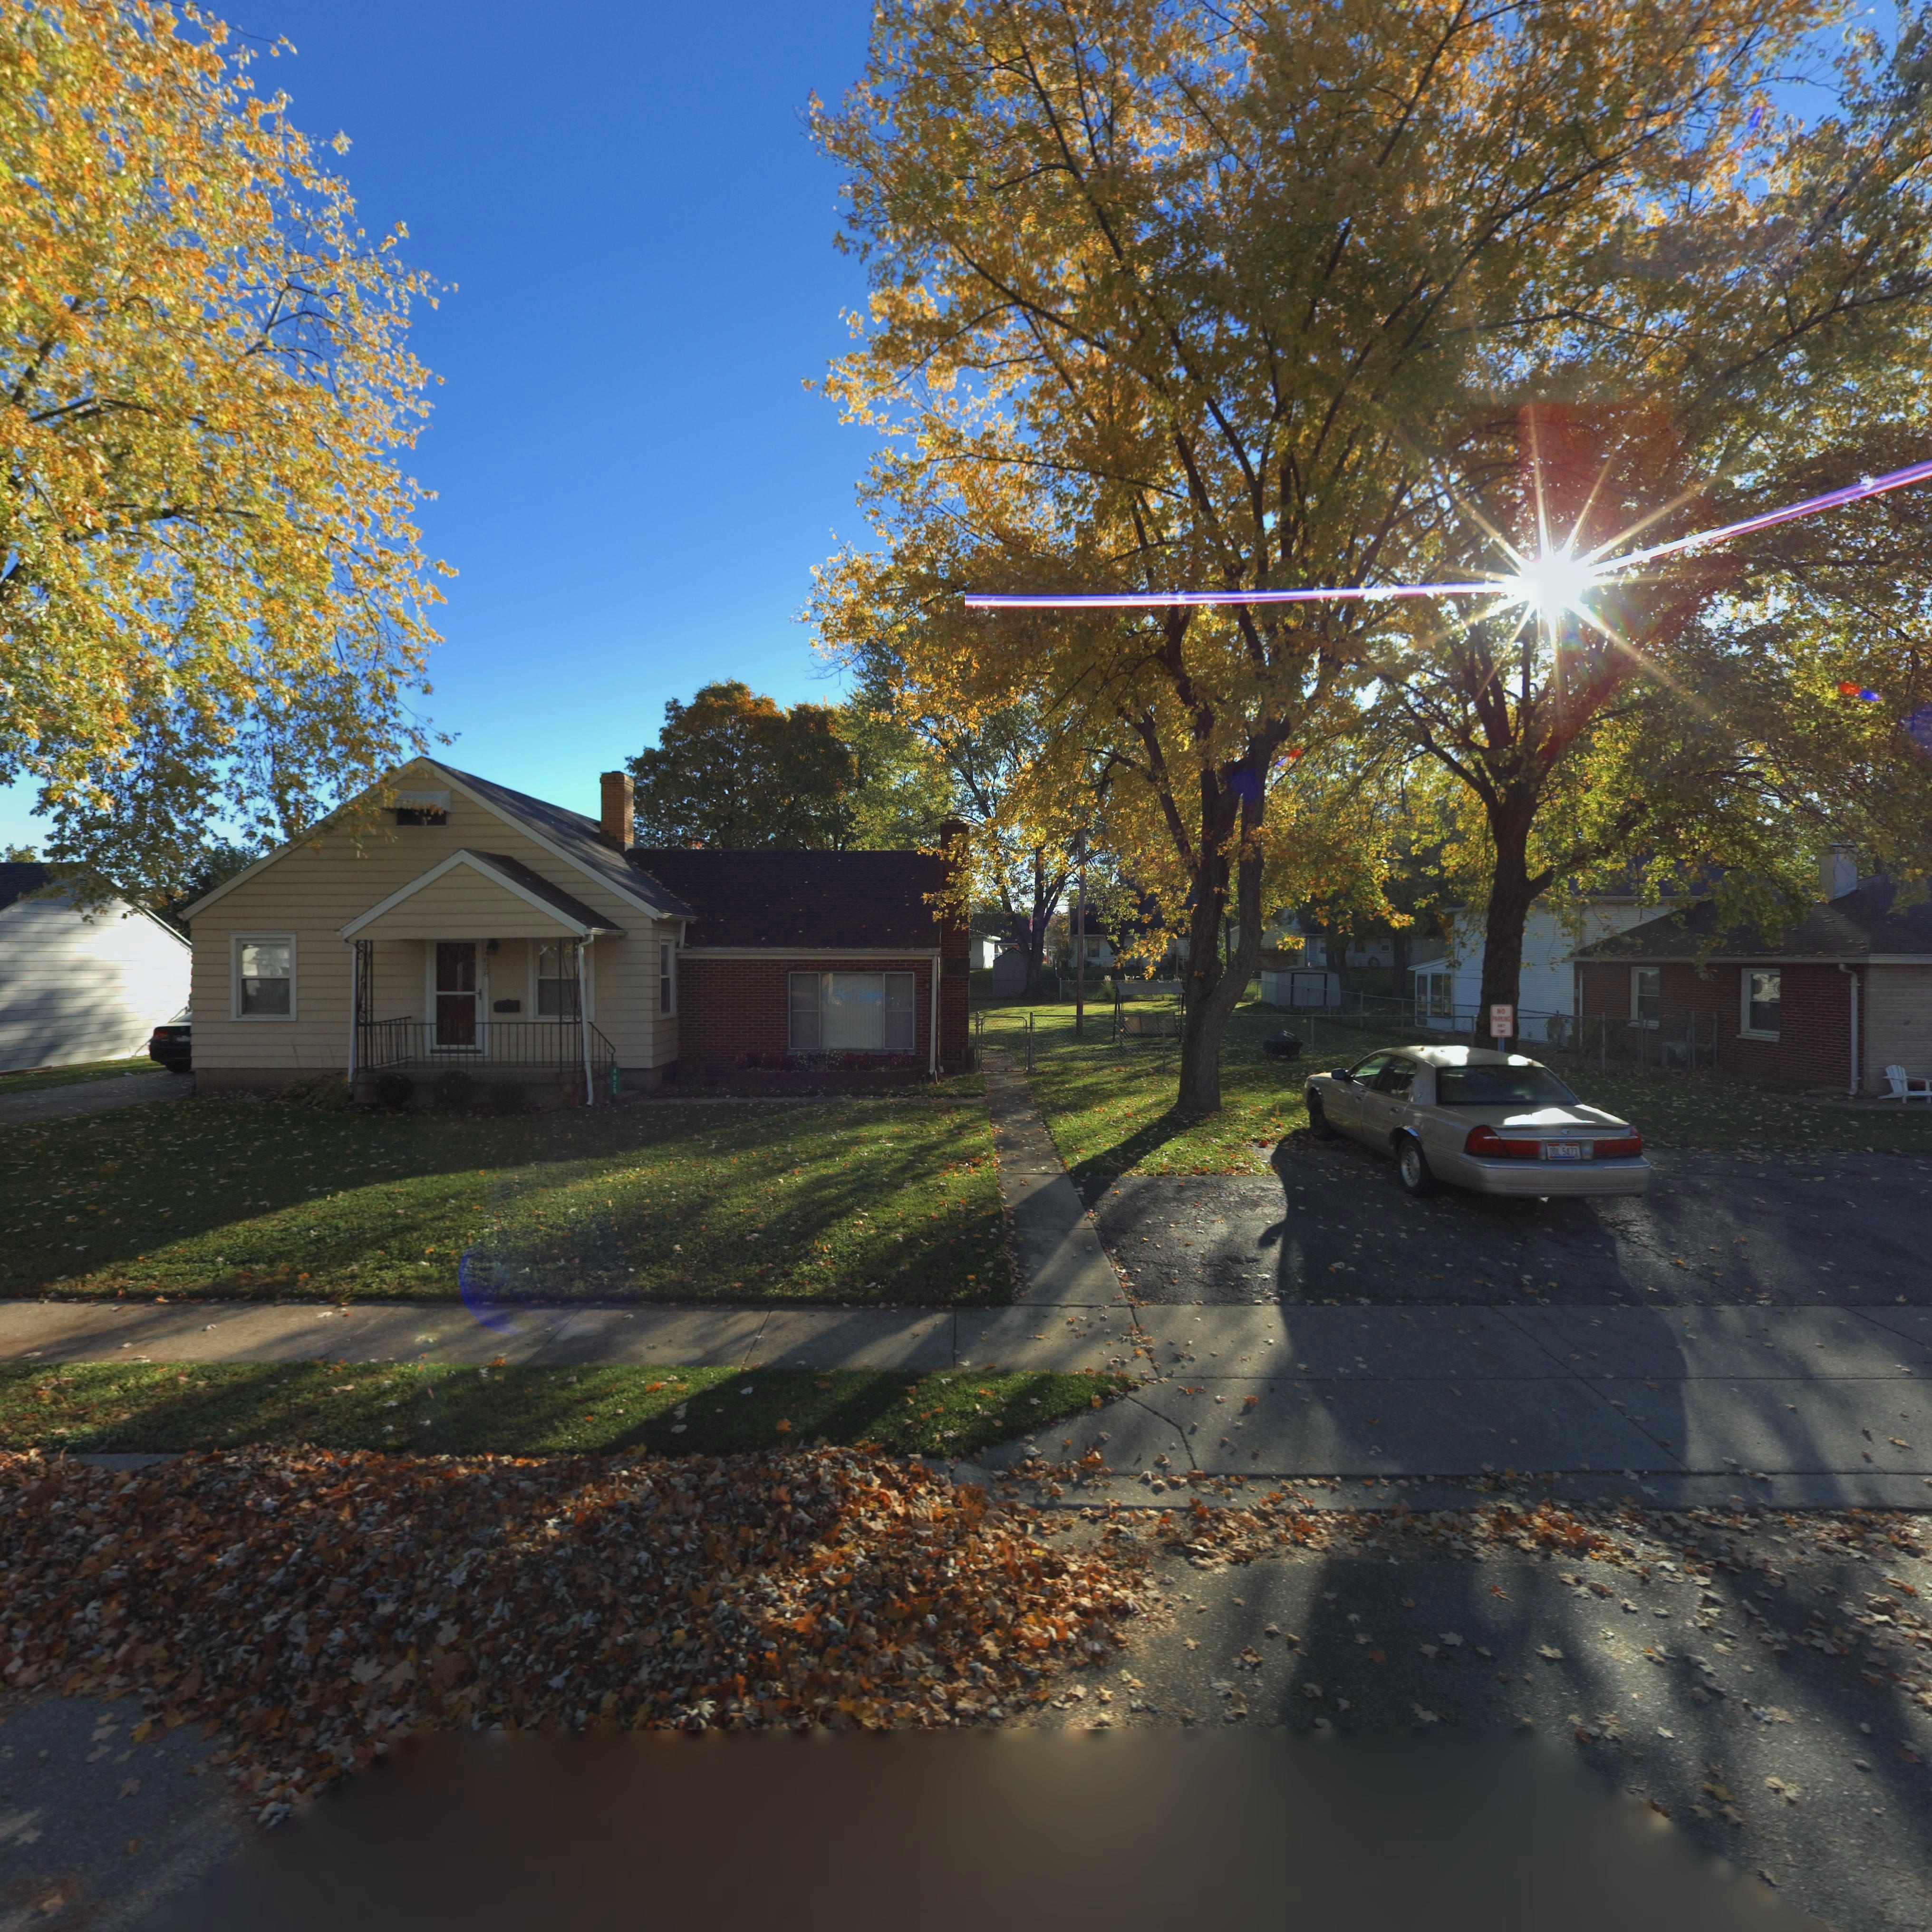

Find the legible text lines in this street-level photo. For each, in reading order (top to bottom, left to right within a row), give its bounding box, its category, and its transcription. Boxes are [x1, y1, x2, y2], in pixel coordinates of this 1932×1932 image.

[483, 963, 490, 977] StreetNumber: 28
[612, 1066, 618, 1095] StreetNumber: **2*